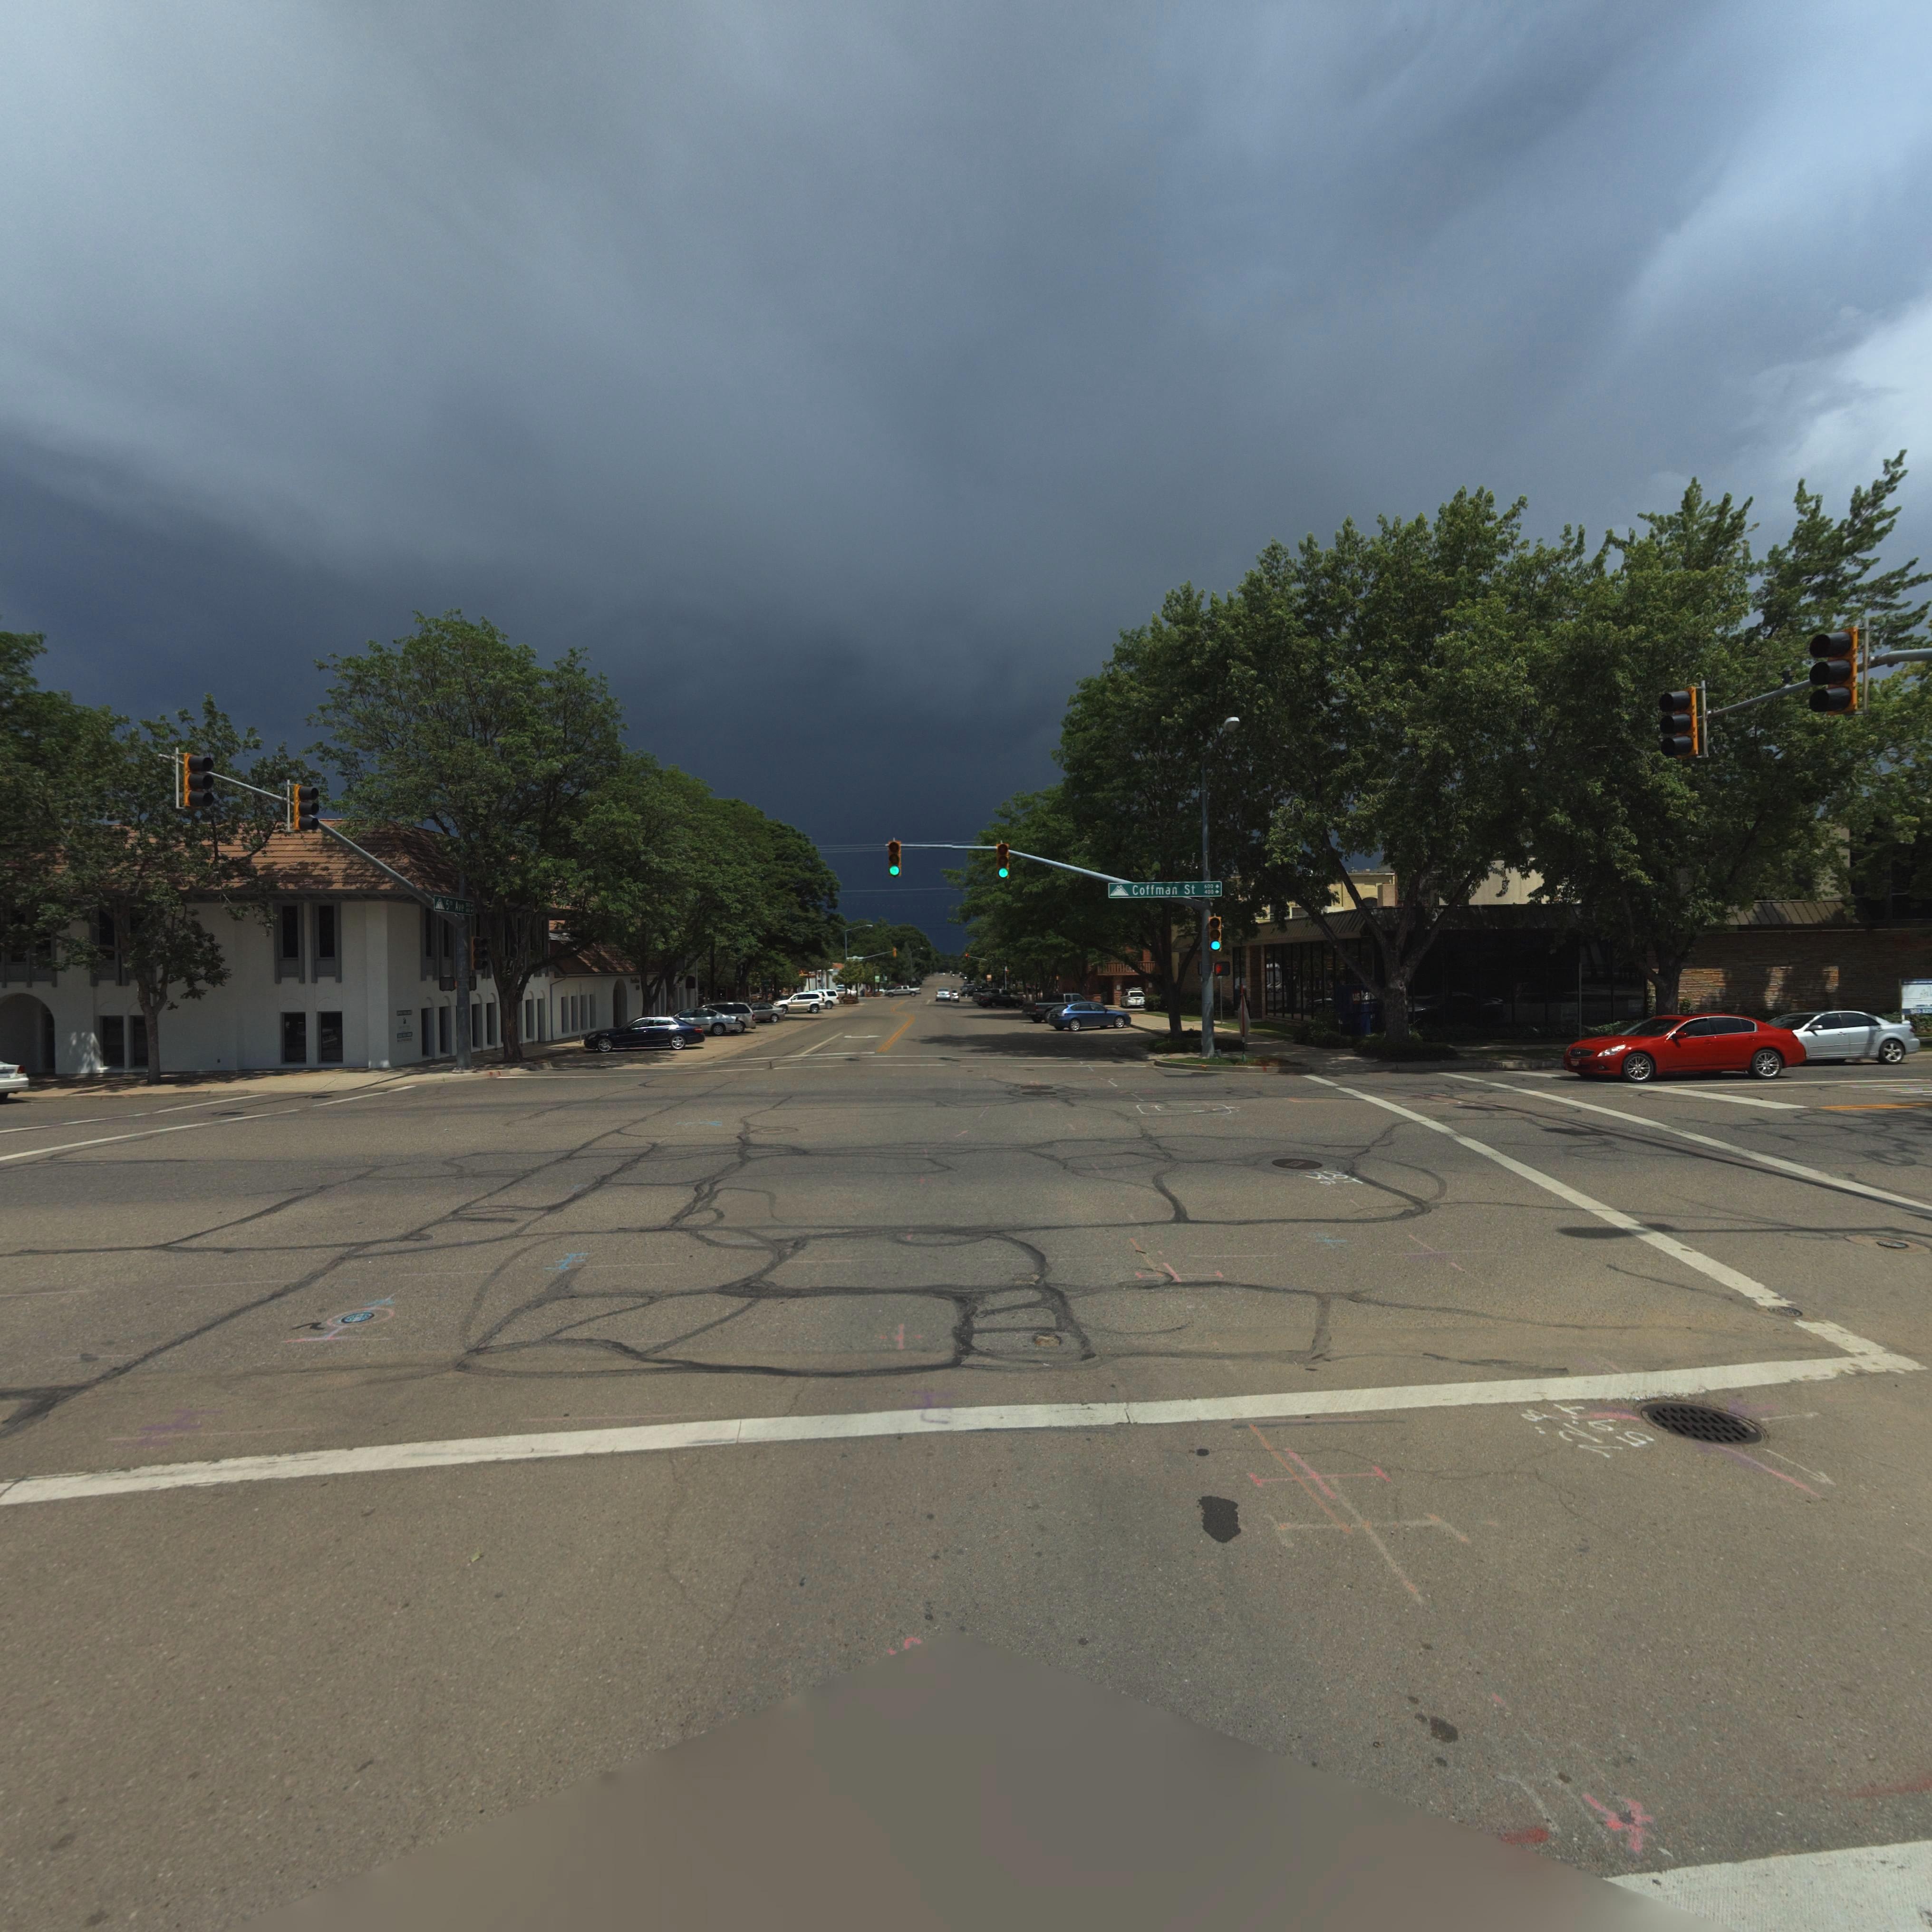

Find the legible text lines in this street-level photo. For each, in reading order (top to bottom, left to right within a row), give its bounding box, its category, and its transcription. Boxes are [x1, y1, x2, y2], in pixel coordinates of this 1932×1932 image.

[1132, 884, 1196, 895] StreetName: Coffman St
[1204, 884, 1213, 889] StreetNumberRange: 600
[1204, 889, 1219, 894] StreetNumberRange: 400->
[445, 899, 464, 912] StreetName: 5th Ave
[1352, 990, 1372, 1001] BusinessName: usban